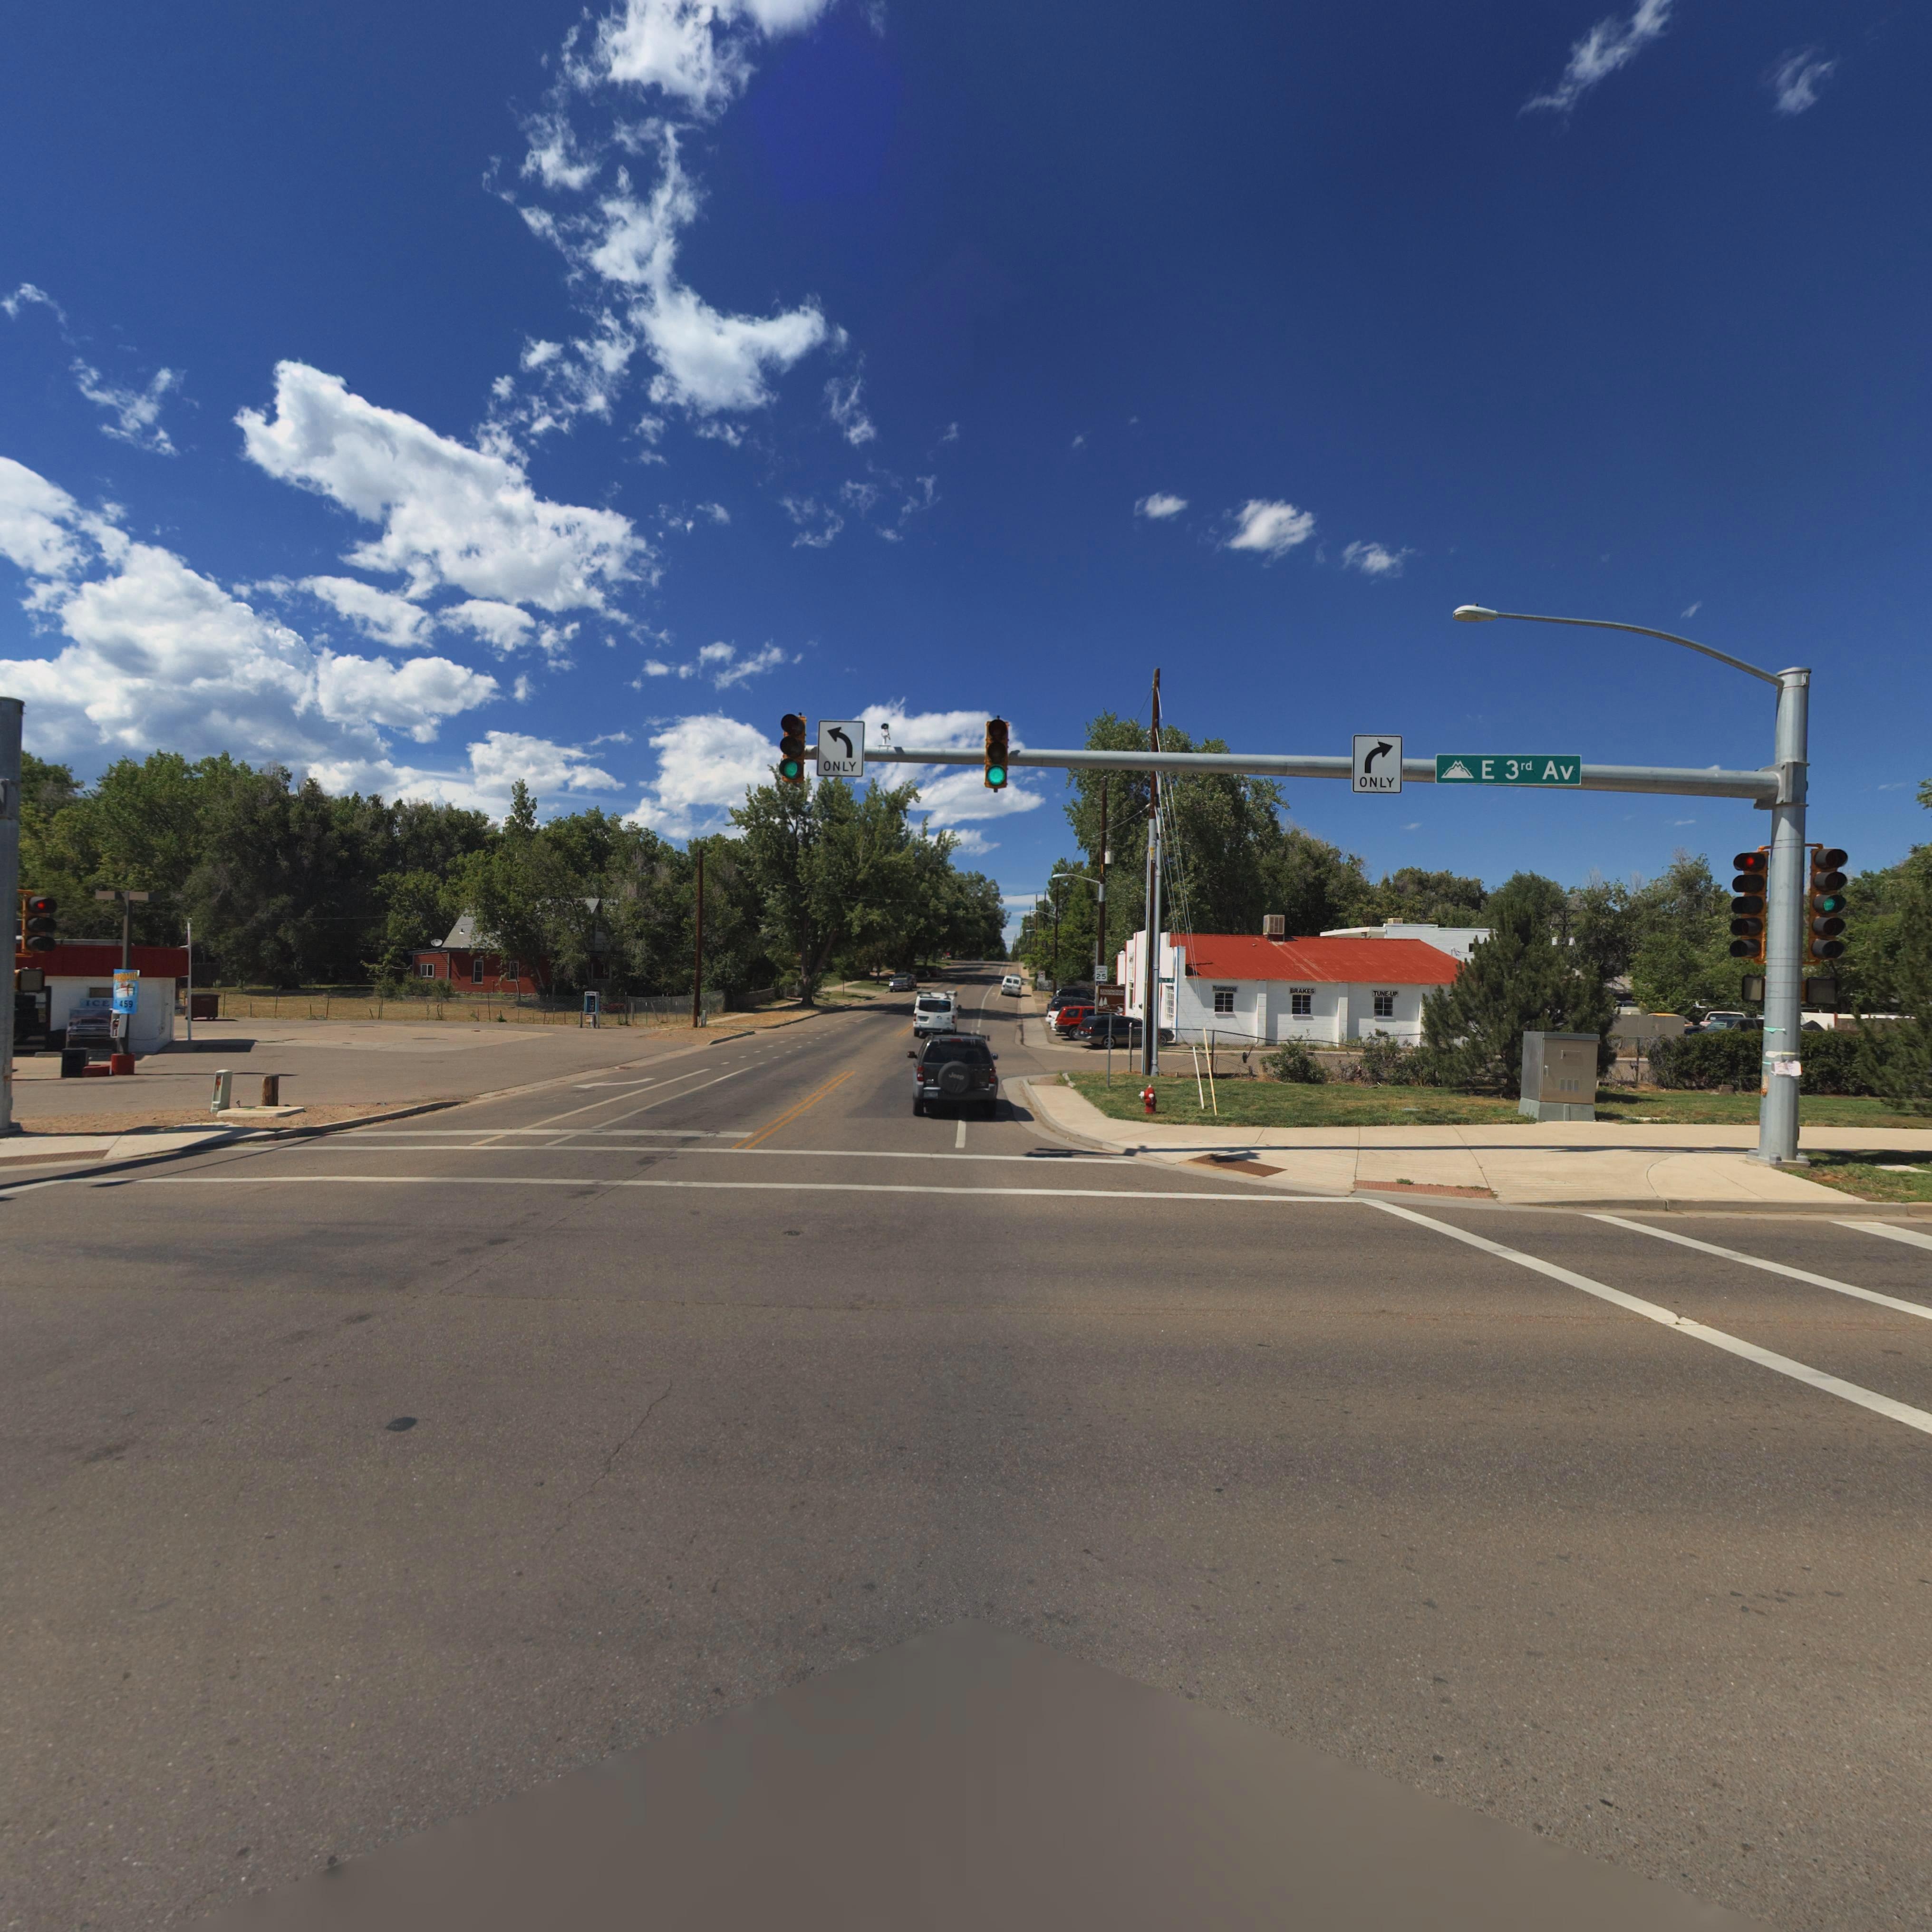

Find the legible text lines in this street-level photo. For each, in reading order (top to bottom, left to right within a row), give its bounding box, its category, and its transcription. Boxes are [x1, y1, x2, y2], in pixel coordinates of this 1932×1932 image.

[1481, 759, 1575, 781] StreetName: E 3rd Av
[1162, 978, 1174, 982] StreetName: ***CK PL